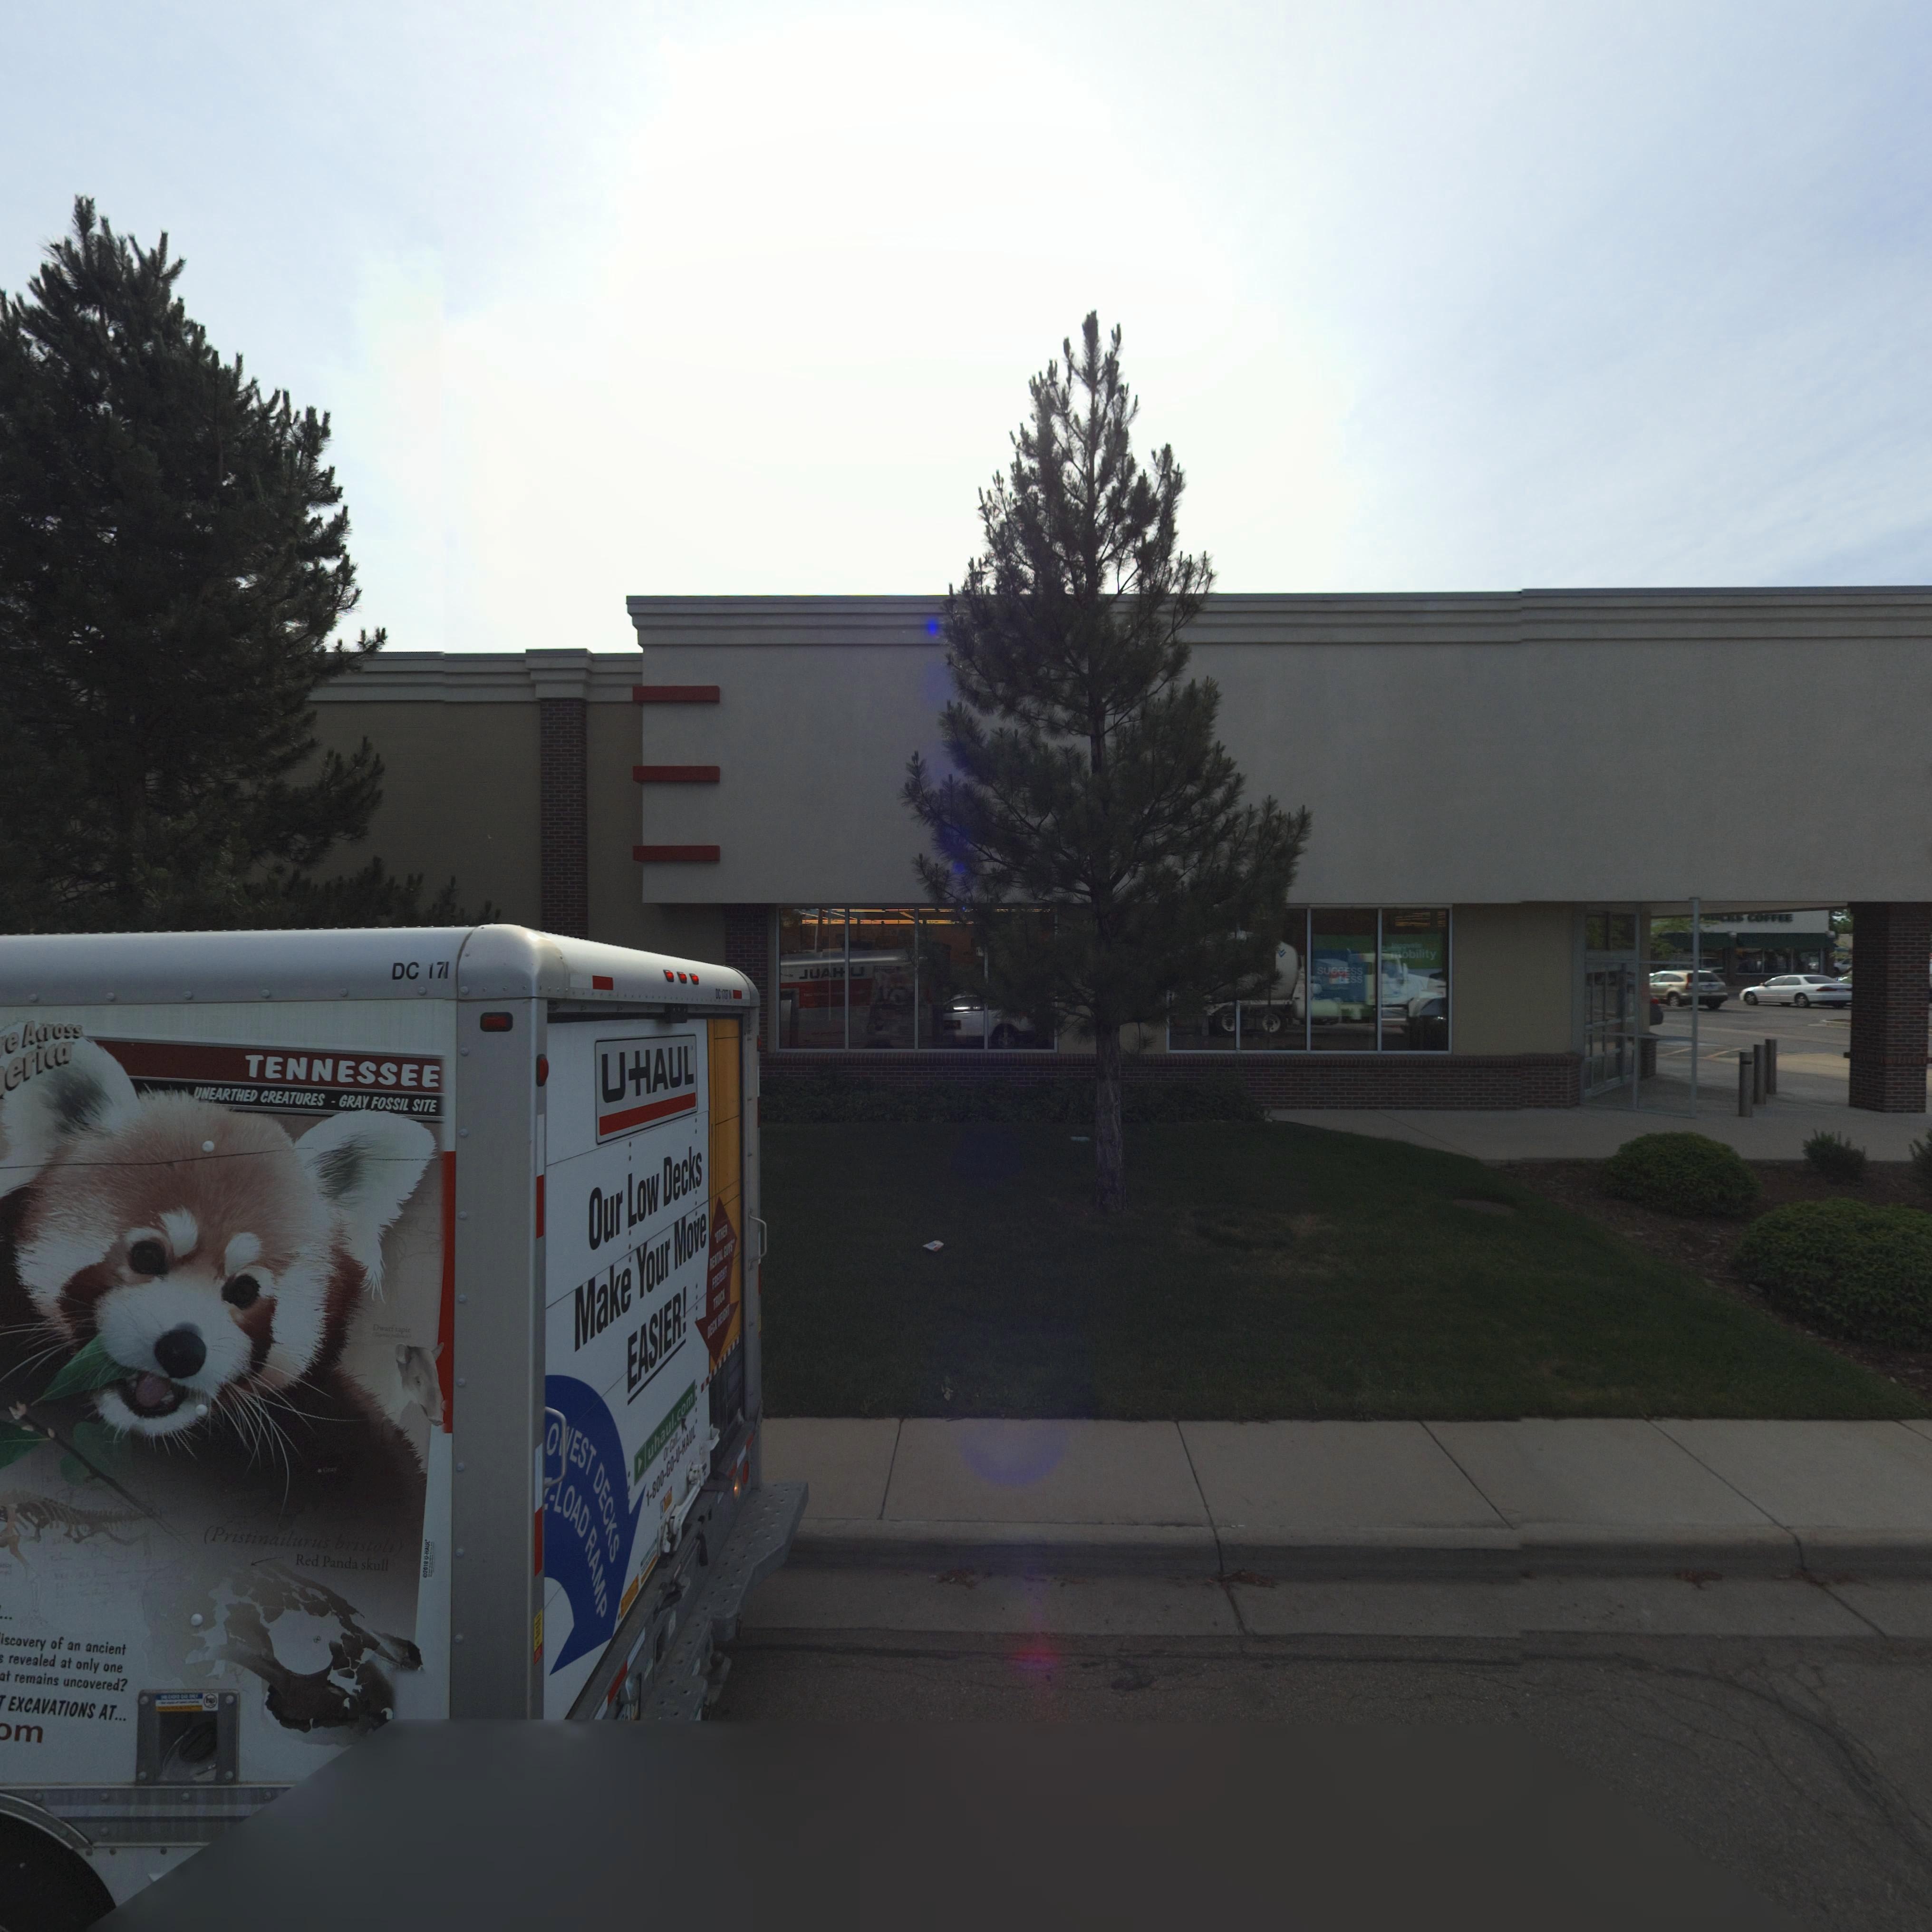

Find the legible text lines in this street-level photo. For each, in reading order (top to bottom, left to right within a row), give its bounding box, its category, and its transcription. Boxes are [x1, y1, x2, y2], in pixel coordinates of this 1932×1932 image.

[1719, 912, 1794, 922] BusinessName: CKS COFFEE